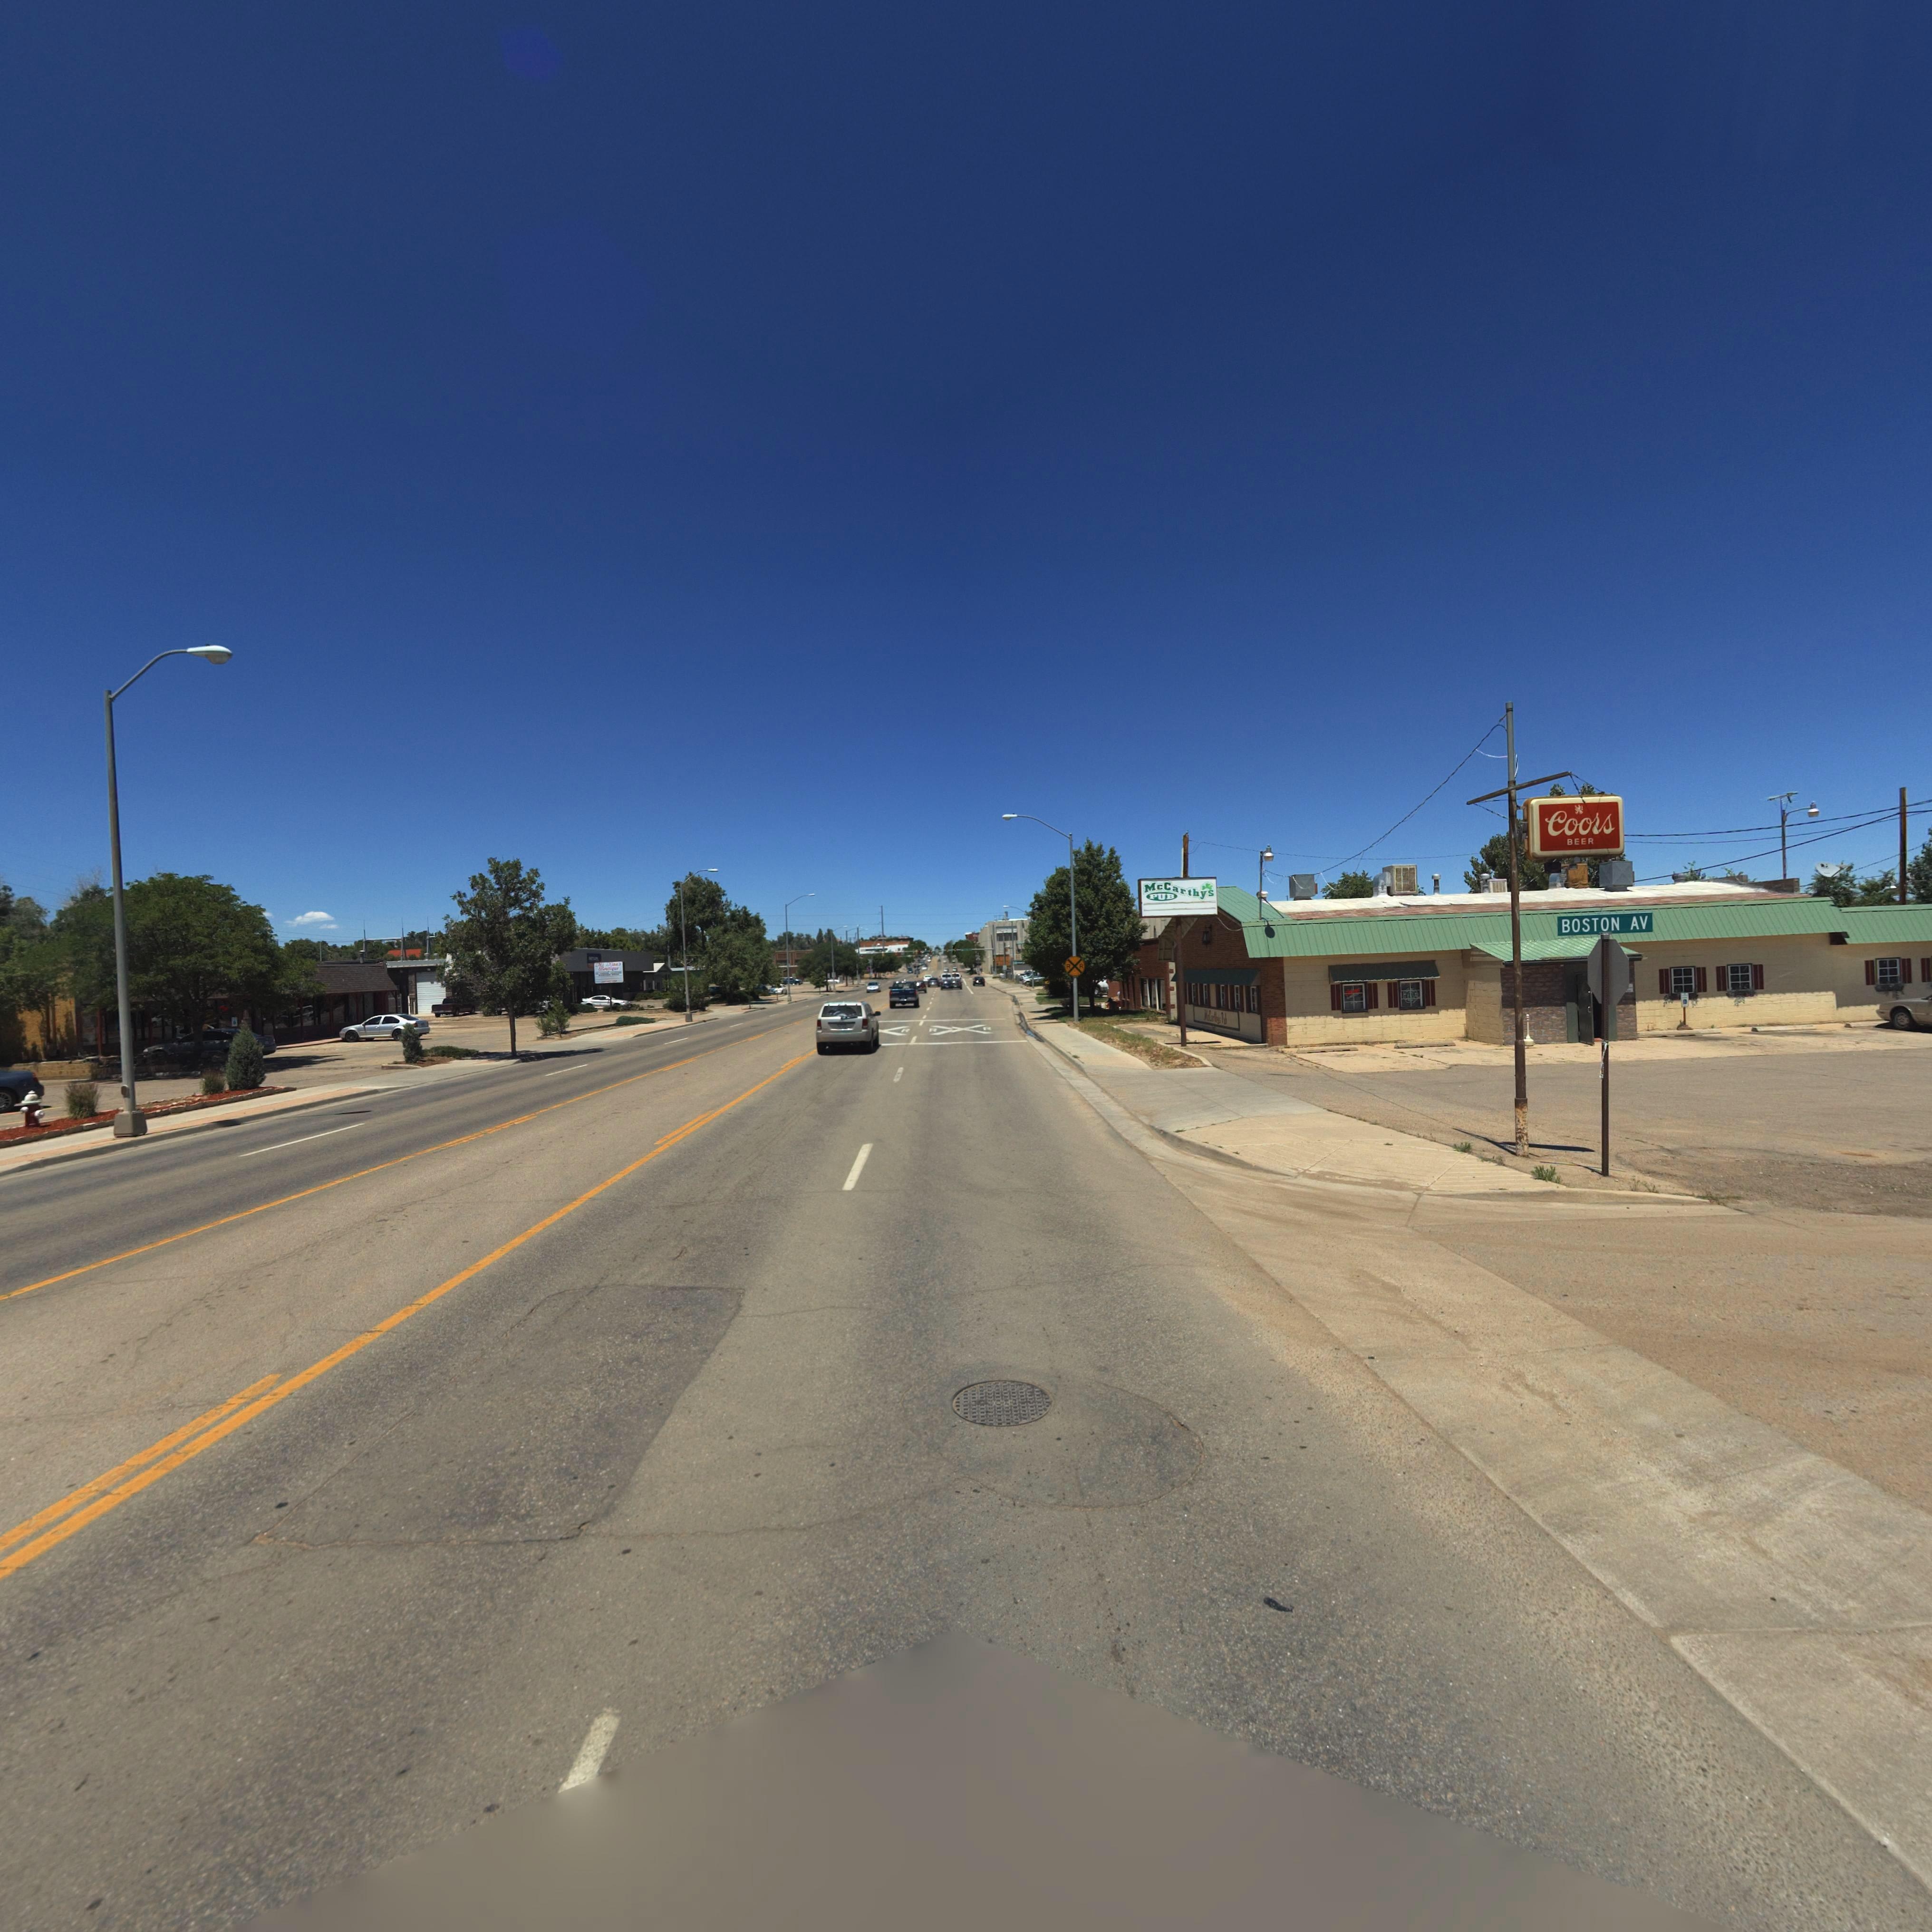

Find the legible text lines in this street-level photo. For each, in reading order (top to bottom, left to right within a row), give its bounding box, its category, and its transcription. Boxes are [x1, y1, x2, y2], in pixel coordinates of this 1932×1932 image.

[1144, 881, 1215, 900] BusinessName: McCarthys
[1149, 893, 1174, 900] BusinessName: PUB
[1561, 915, 1648, 933] StreetName: BOSTON AV
[589, 956, 599, 961] BusinessName: *e*e*
[596, 962, 621, 967] BusinessName: M* ****s
[598, 966, 619, 971] BusinessName: ***ti***
[1203, 1009, 1227, 1025] BusinessName: **C*****s ***